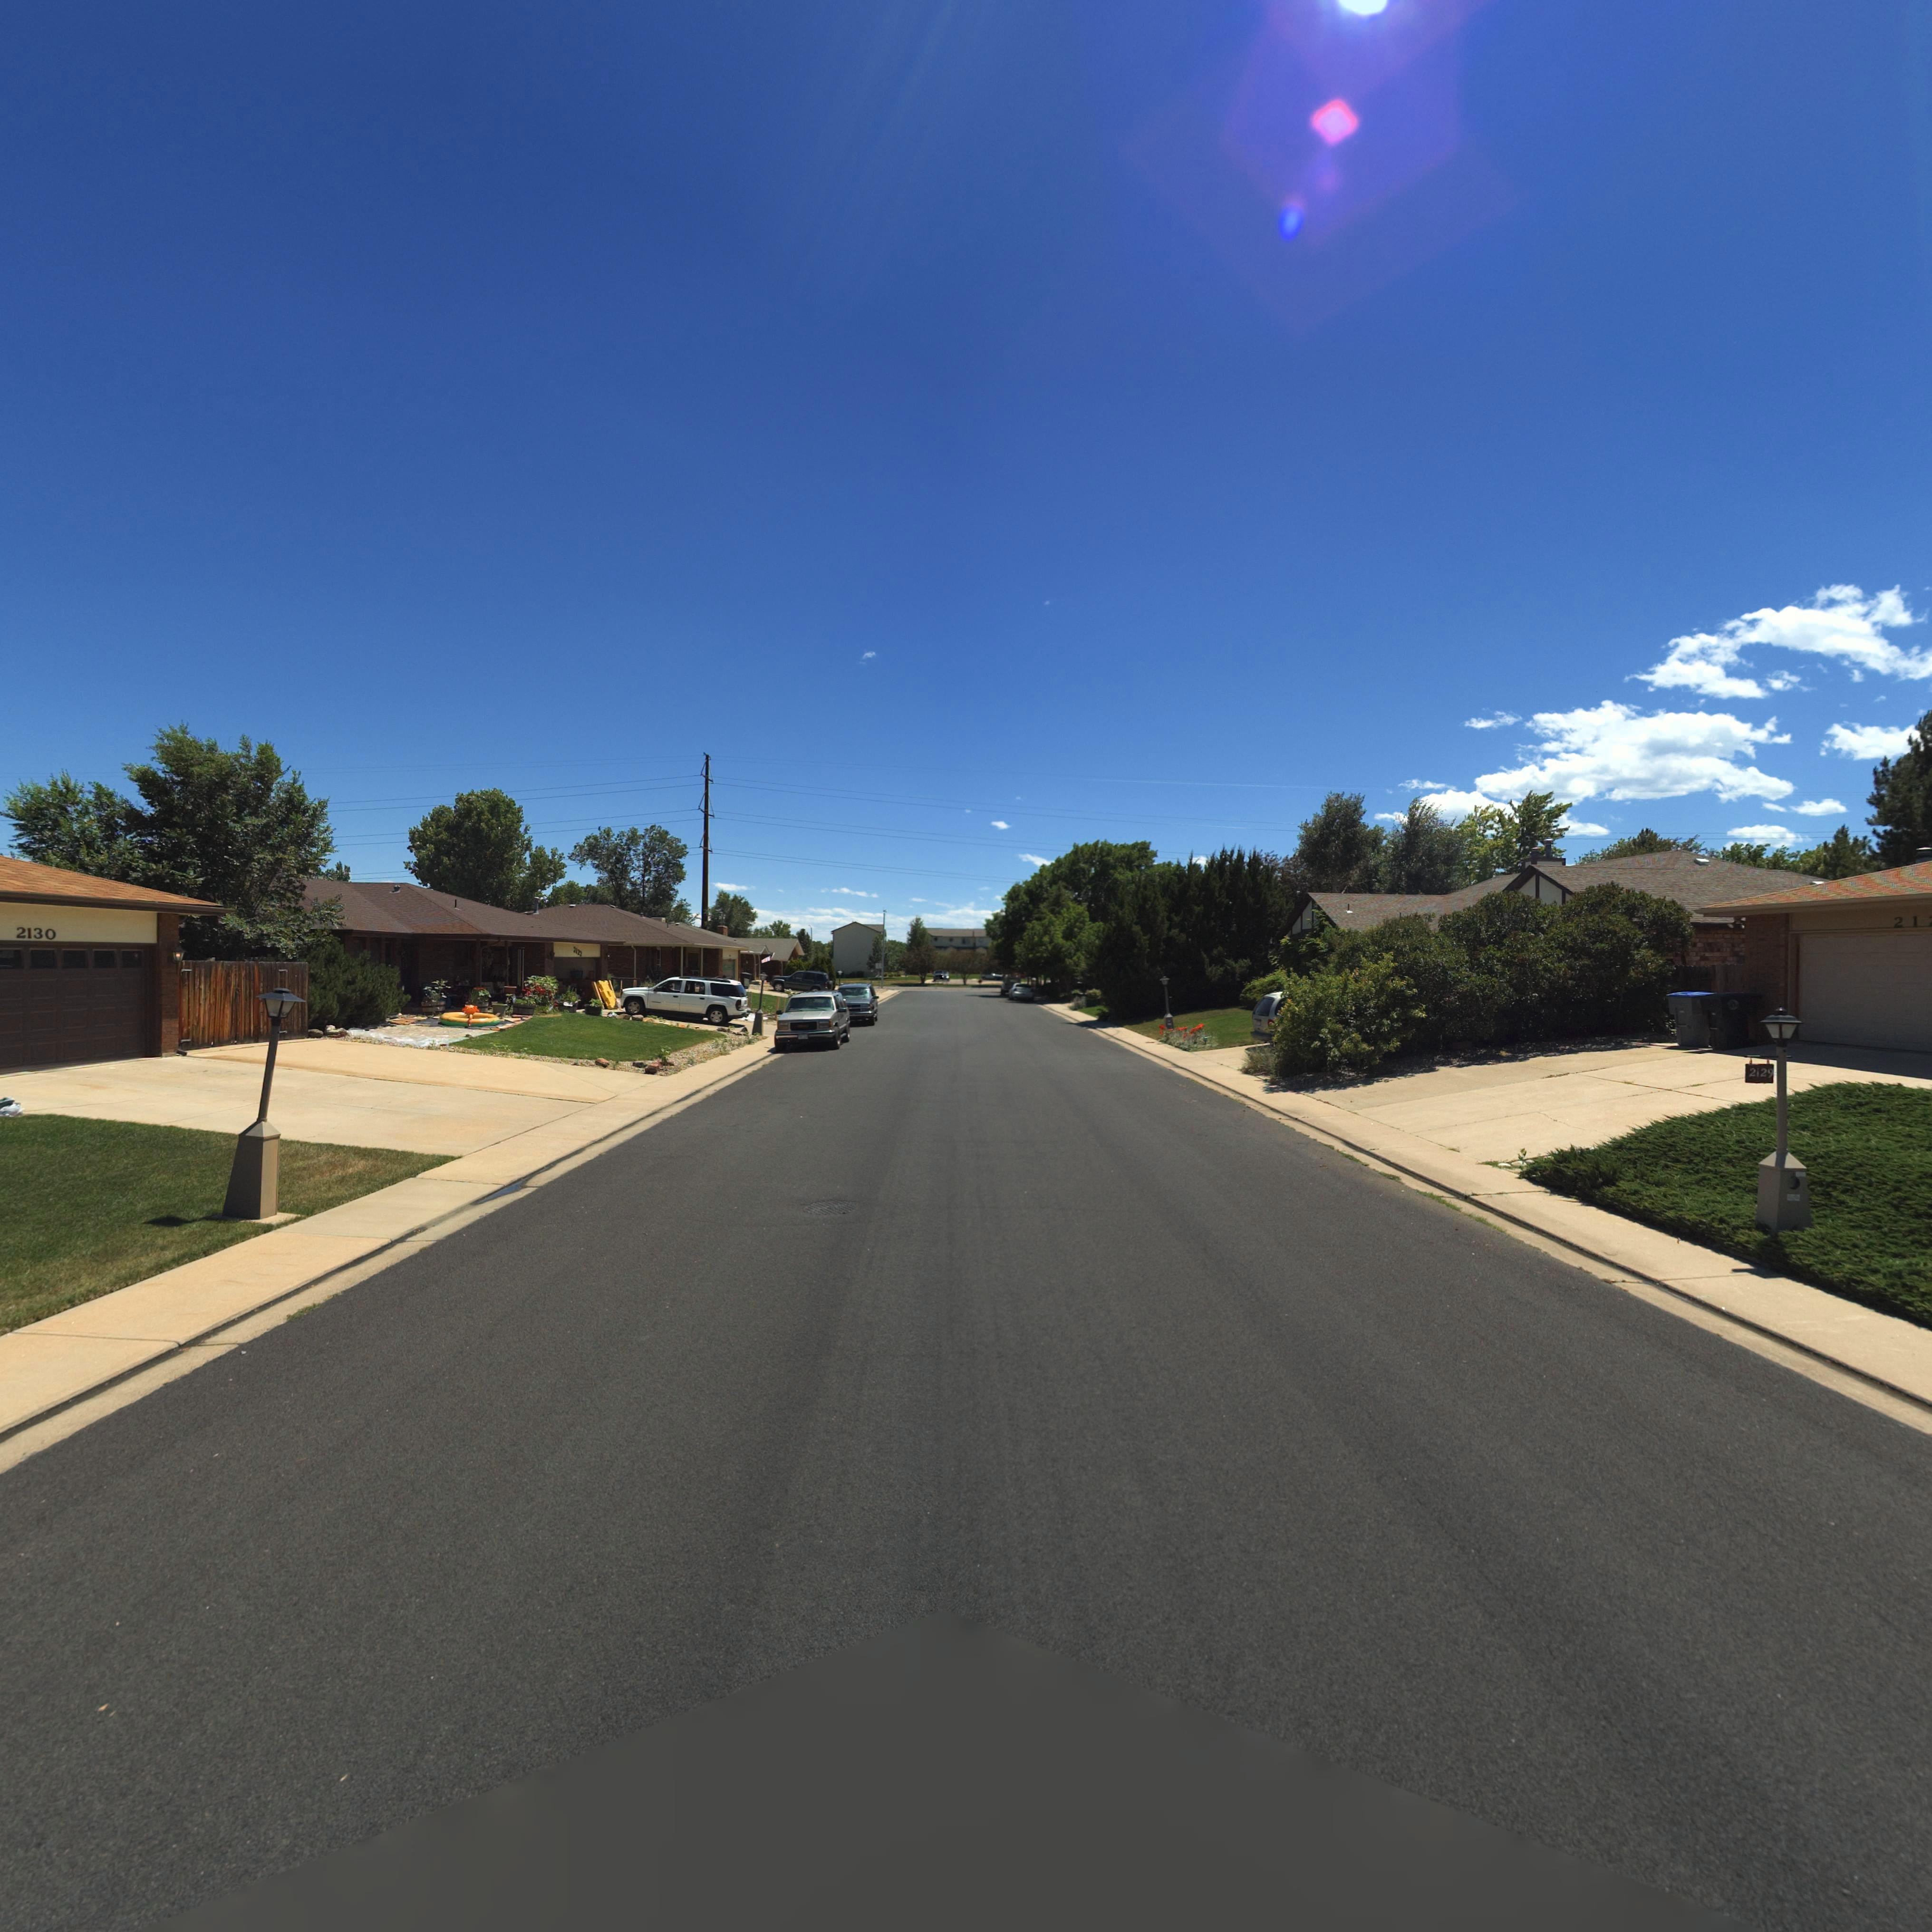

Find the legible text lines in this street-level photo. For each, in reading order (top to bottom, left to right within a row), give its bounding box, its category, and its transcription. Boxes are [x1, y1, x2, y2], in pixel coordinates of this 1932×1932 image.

[1893, 915, 1918, 928] StreetNumber: 21
[16, 927, 56, 940] StreetNumber: 2130
[573, 946, 582, 956] StreetNumber: 212*
[1748, 1067, 1774, 1079] StreetNumber: 2129